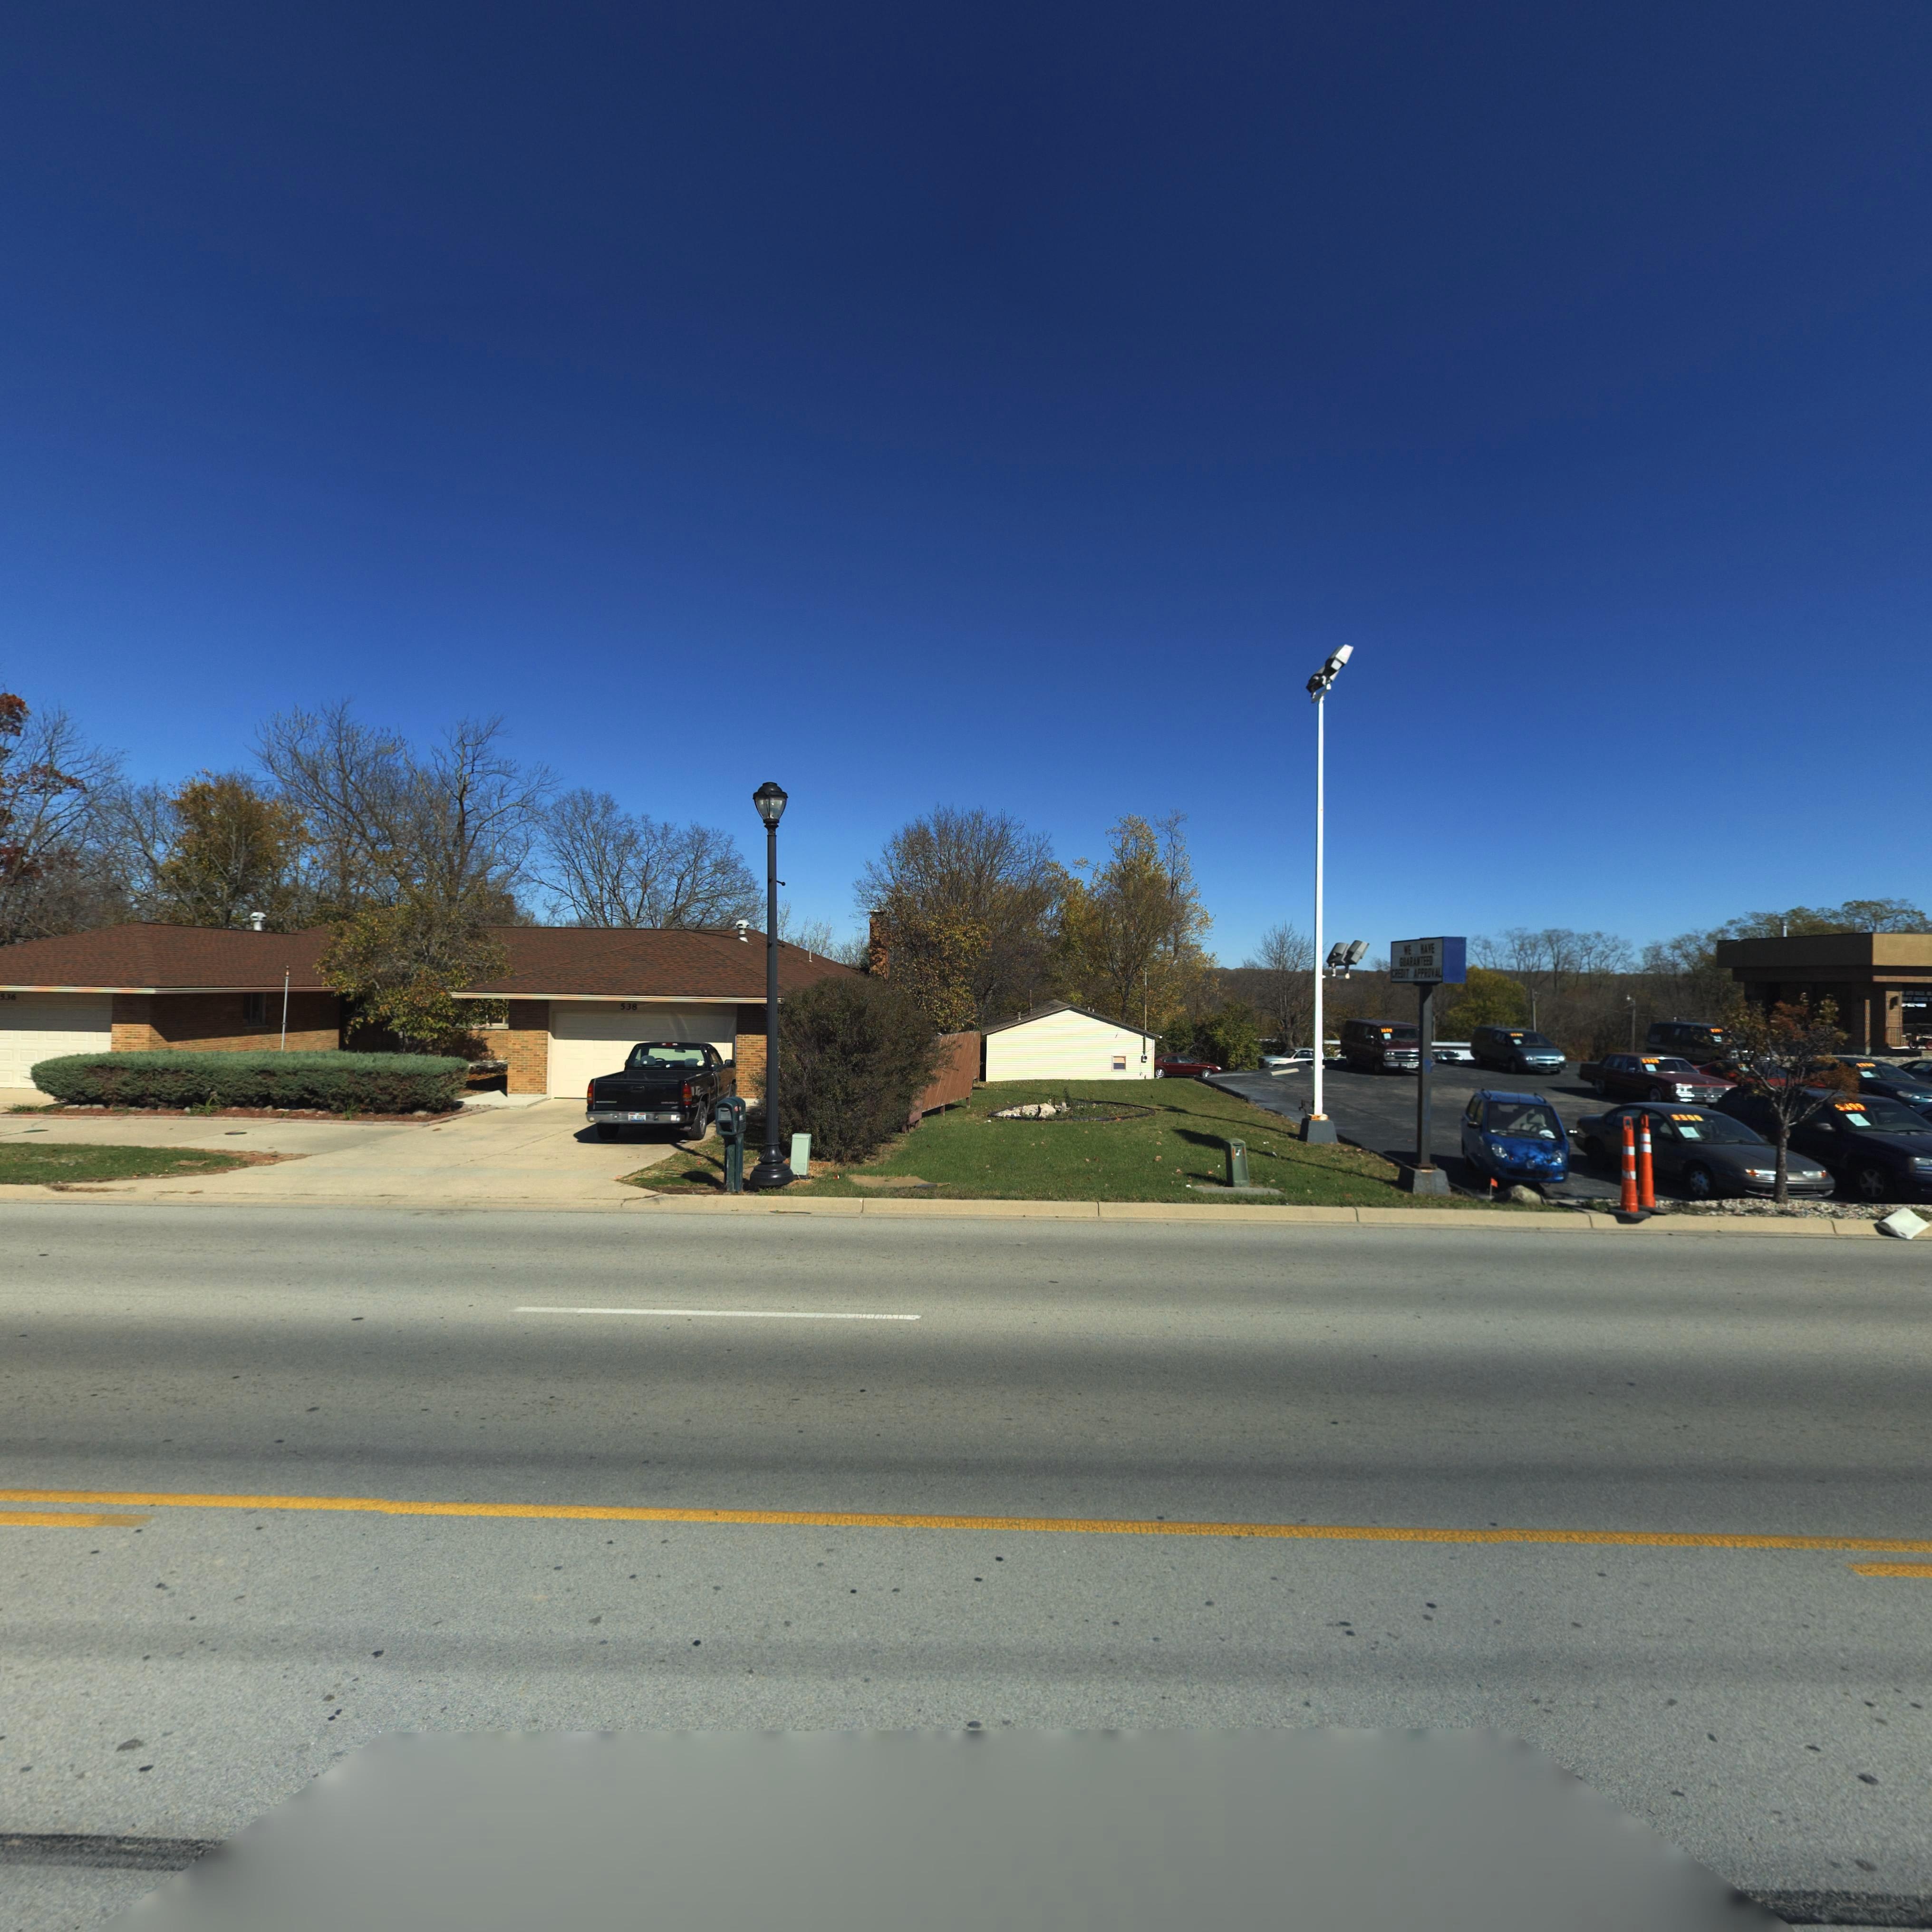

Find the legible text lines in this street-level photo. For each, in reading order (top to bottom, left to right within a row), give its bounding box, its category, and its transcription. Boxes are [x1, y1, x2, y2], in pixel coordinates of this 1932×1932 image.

[1403, 943, 1436, 956] None: WE HAVE
[1398, 955, 1434, 968] None: GUARANTEED
[1390, 967, 1443, 979] None: CREDIT APPROVAL
[0, 992, 18, 1001] StreetNumber: *36
[619, 1002, 638, 1011] StreetNumber: 538